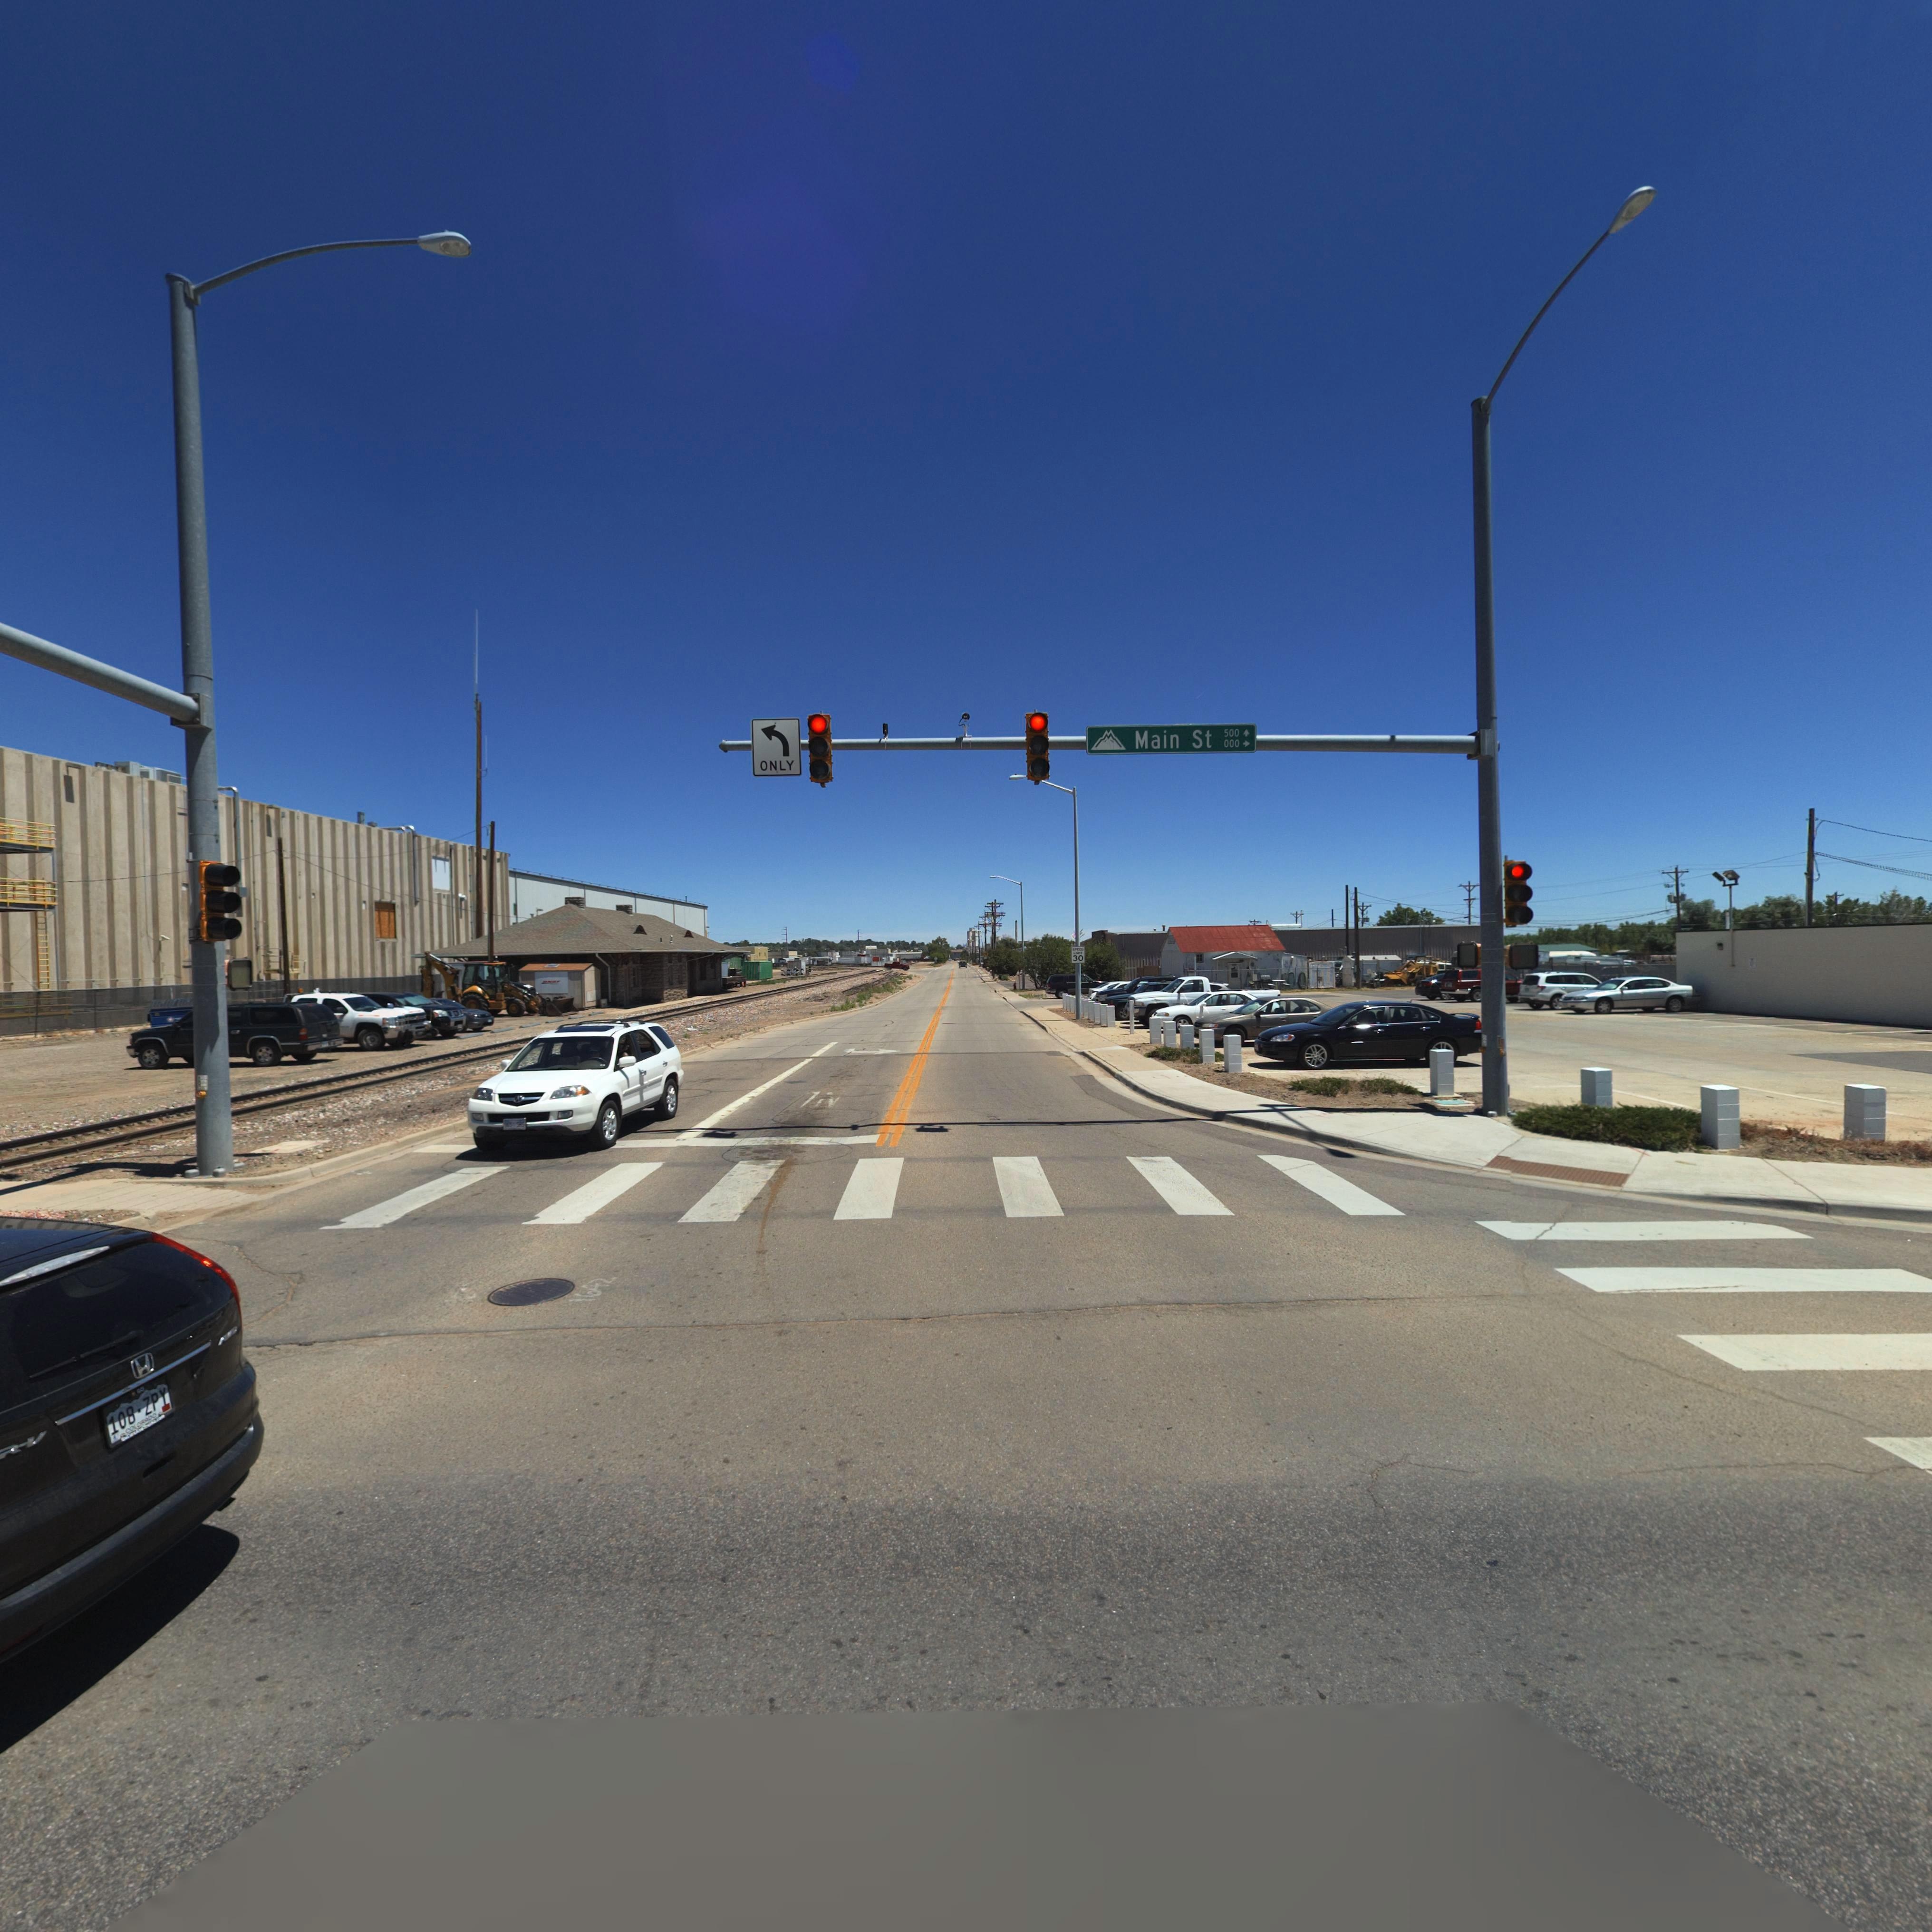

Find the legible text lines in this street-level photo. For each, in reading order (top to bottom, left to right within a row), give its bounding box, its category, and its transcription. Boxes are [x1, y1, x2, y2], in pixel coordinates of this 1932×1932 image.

[1223, 728, 1240, 737] StreetNumberRange: 500
[1134, 729, 1213, 750] StreetName: Main St
[1223, 739, 1251, 748] StreetNumberRange: 000->